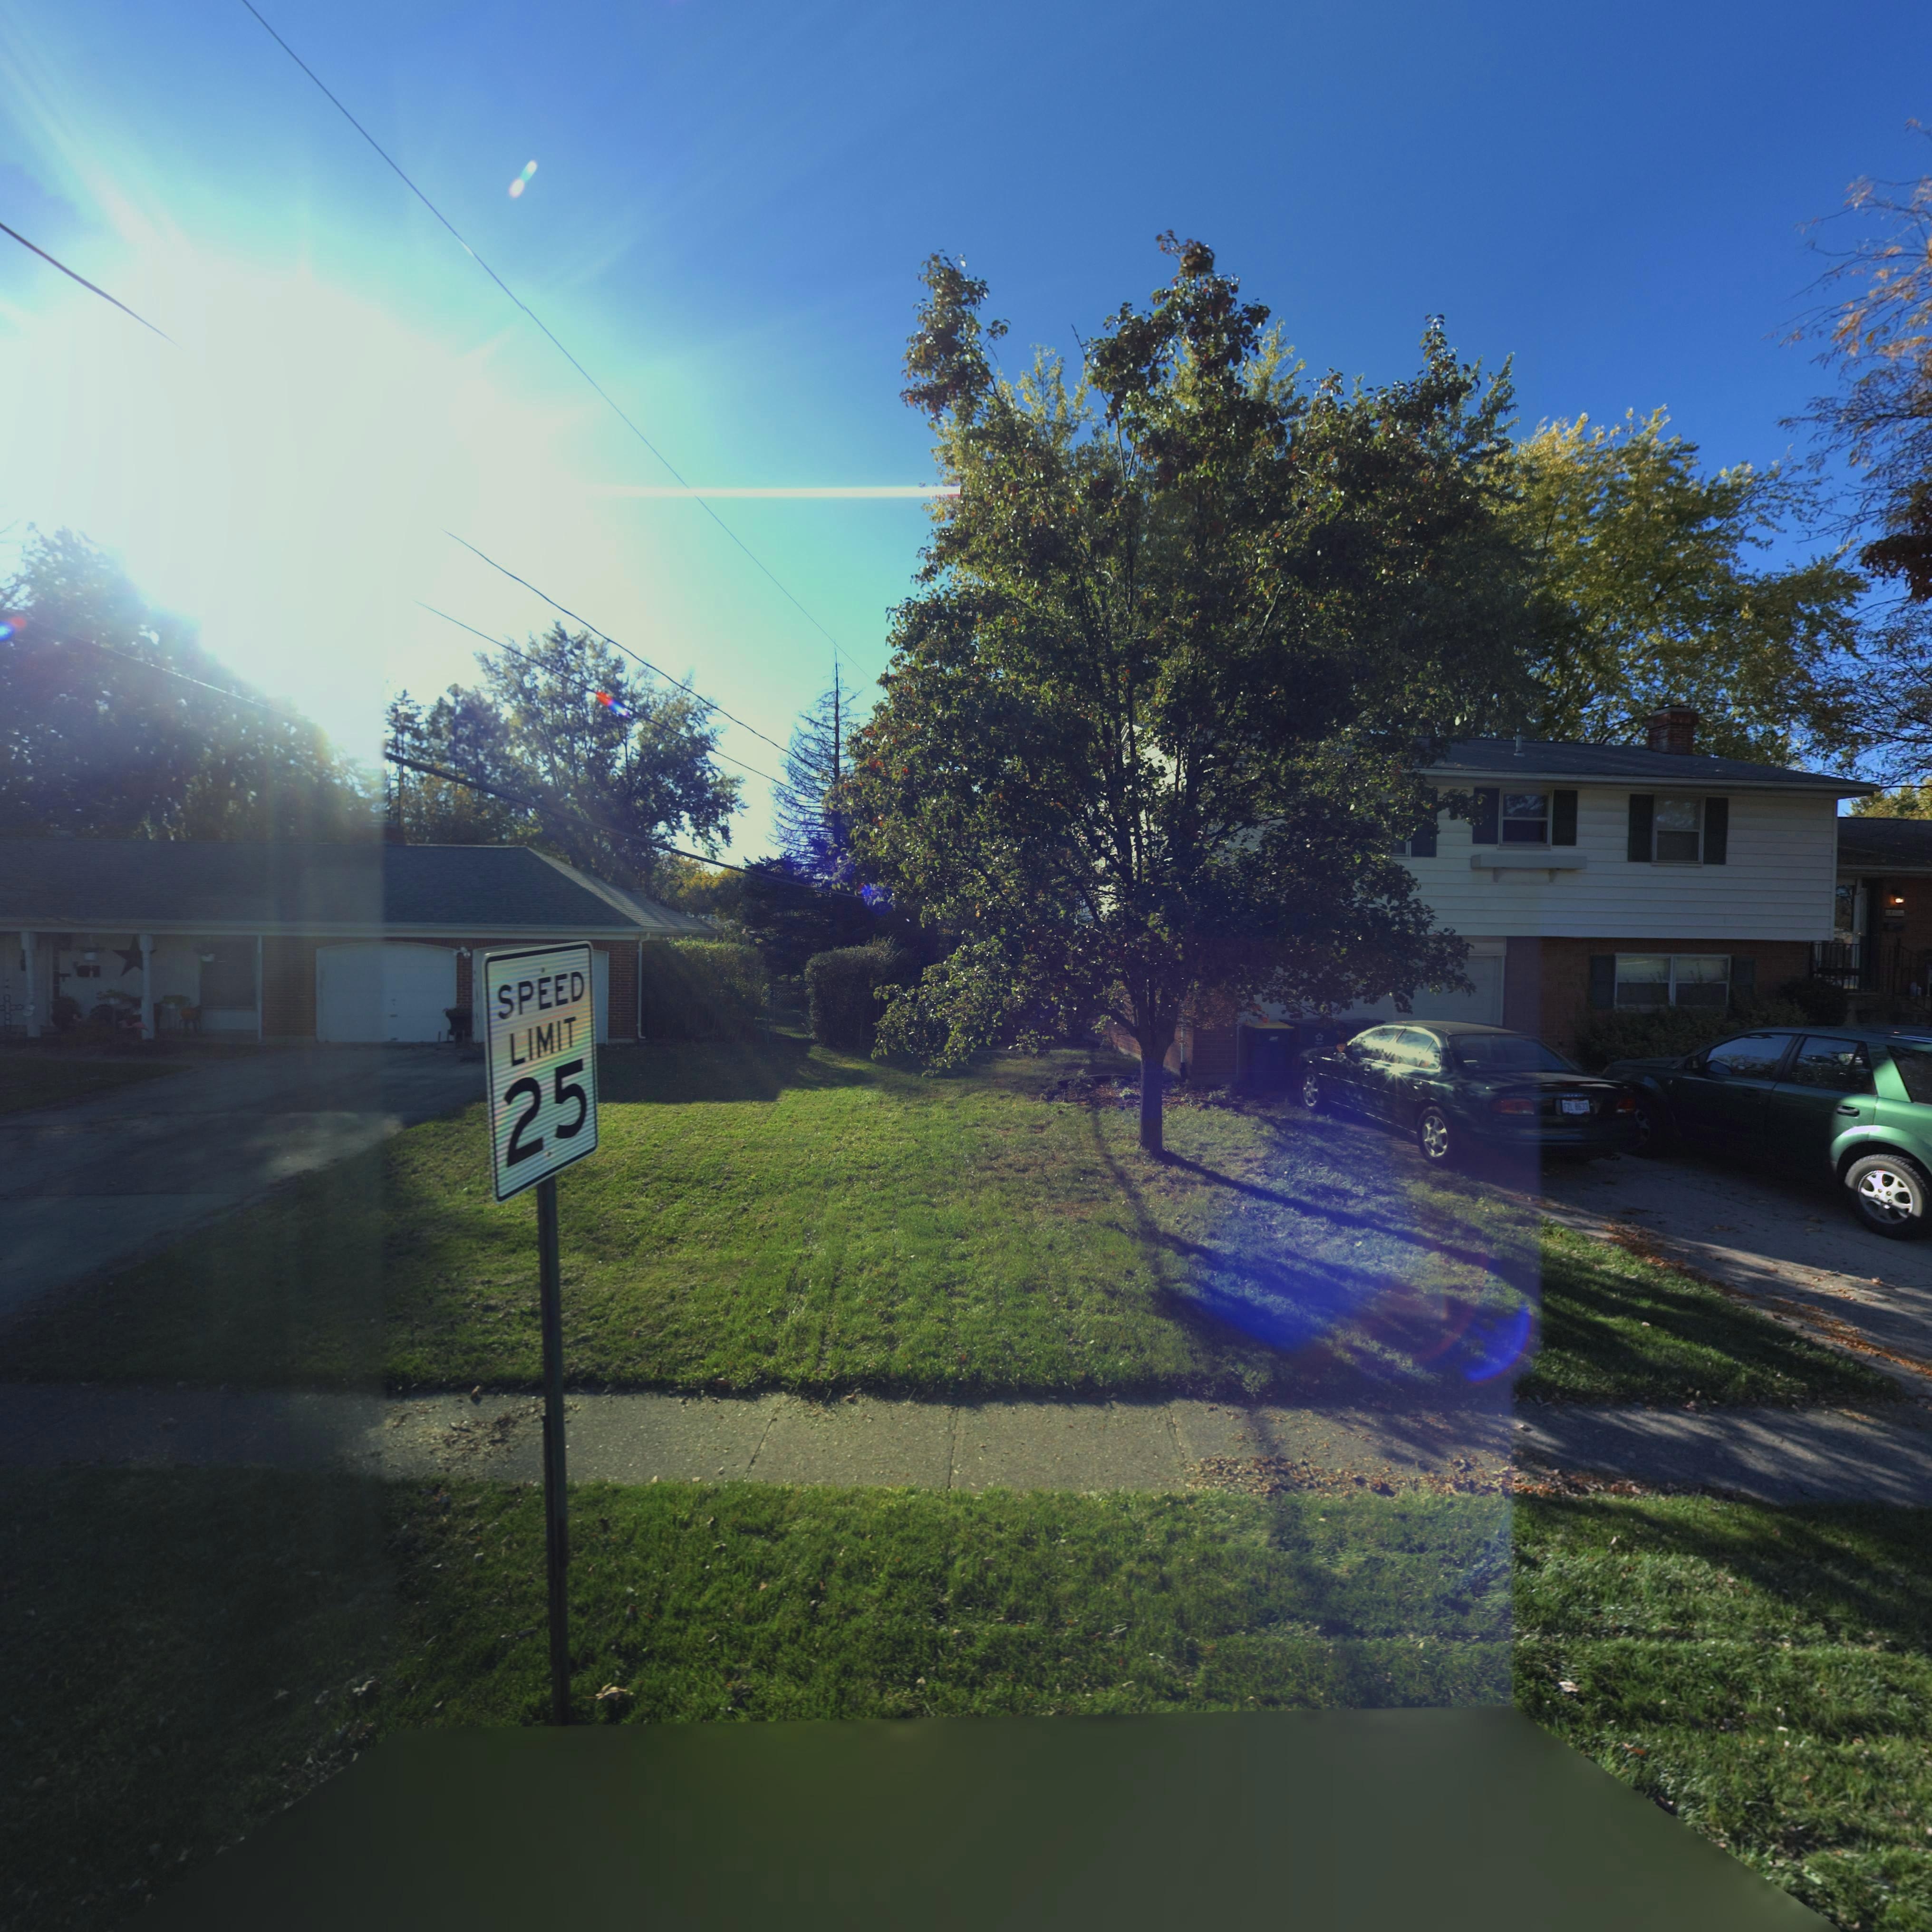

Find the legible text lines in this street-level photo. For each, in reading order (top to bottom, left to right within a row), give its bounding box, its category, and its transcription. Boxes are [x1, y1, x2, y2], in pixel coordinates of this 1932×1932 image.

[1885, 909, 1900, 915] StreetNumber: *9**